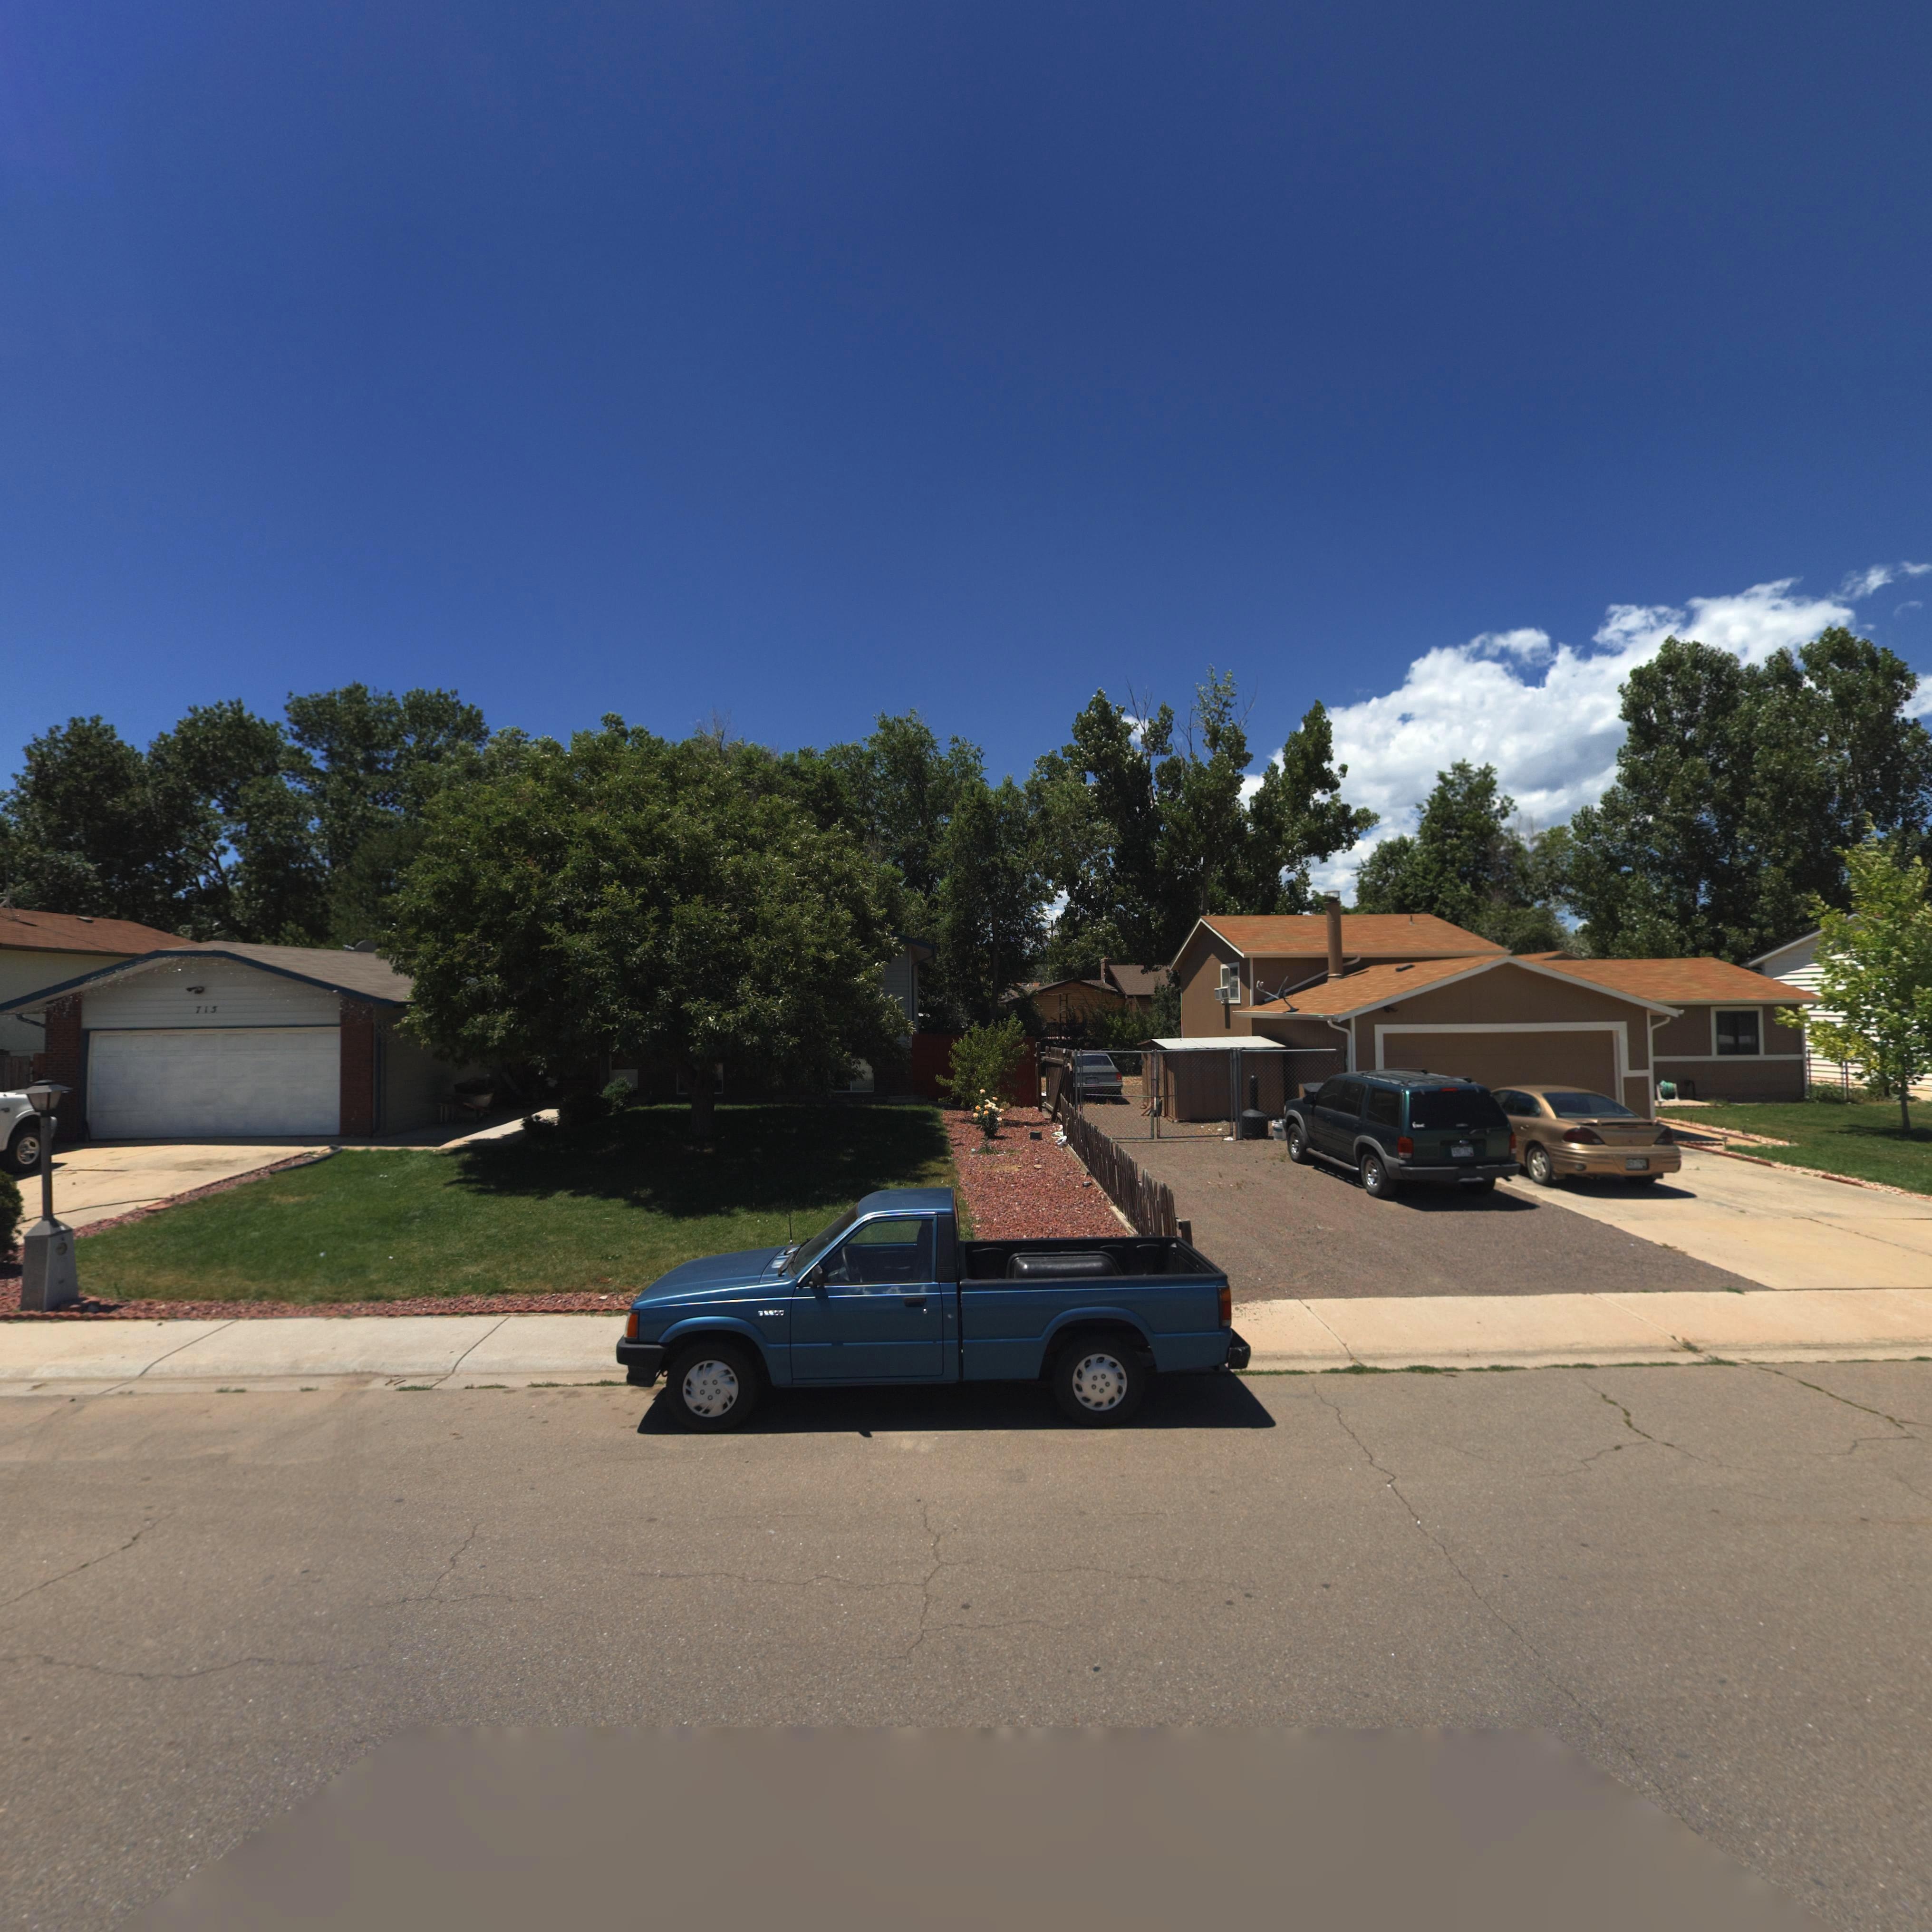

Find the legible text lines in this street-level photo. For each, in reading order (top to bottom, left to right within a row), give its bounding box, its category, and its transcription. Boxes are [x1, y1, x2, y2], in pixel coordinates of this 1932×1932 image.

[196, 1005, 217, 1014] StreetNumber: 715